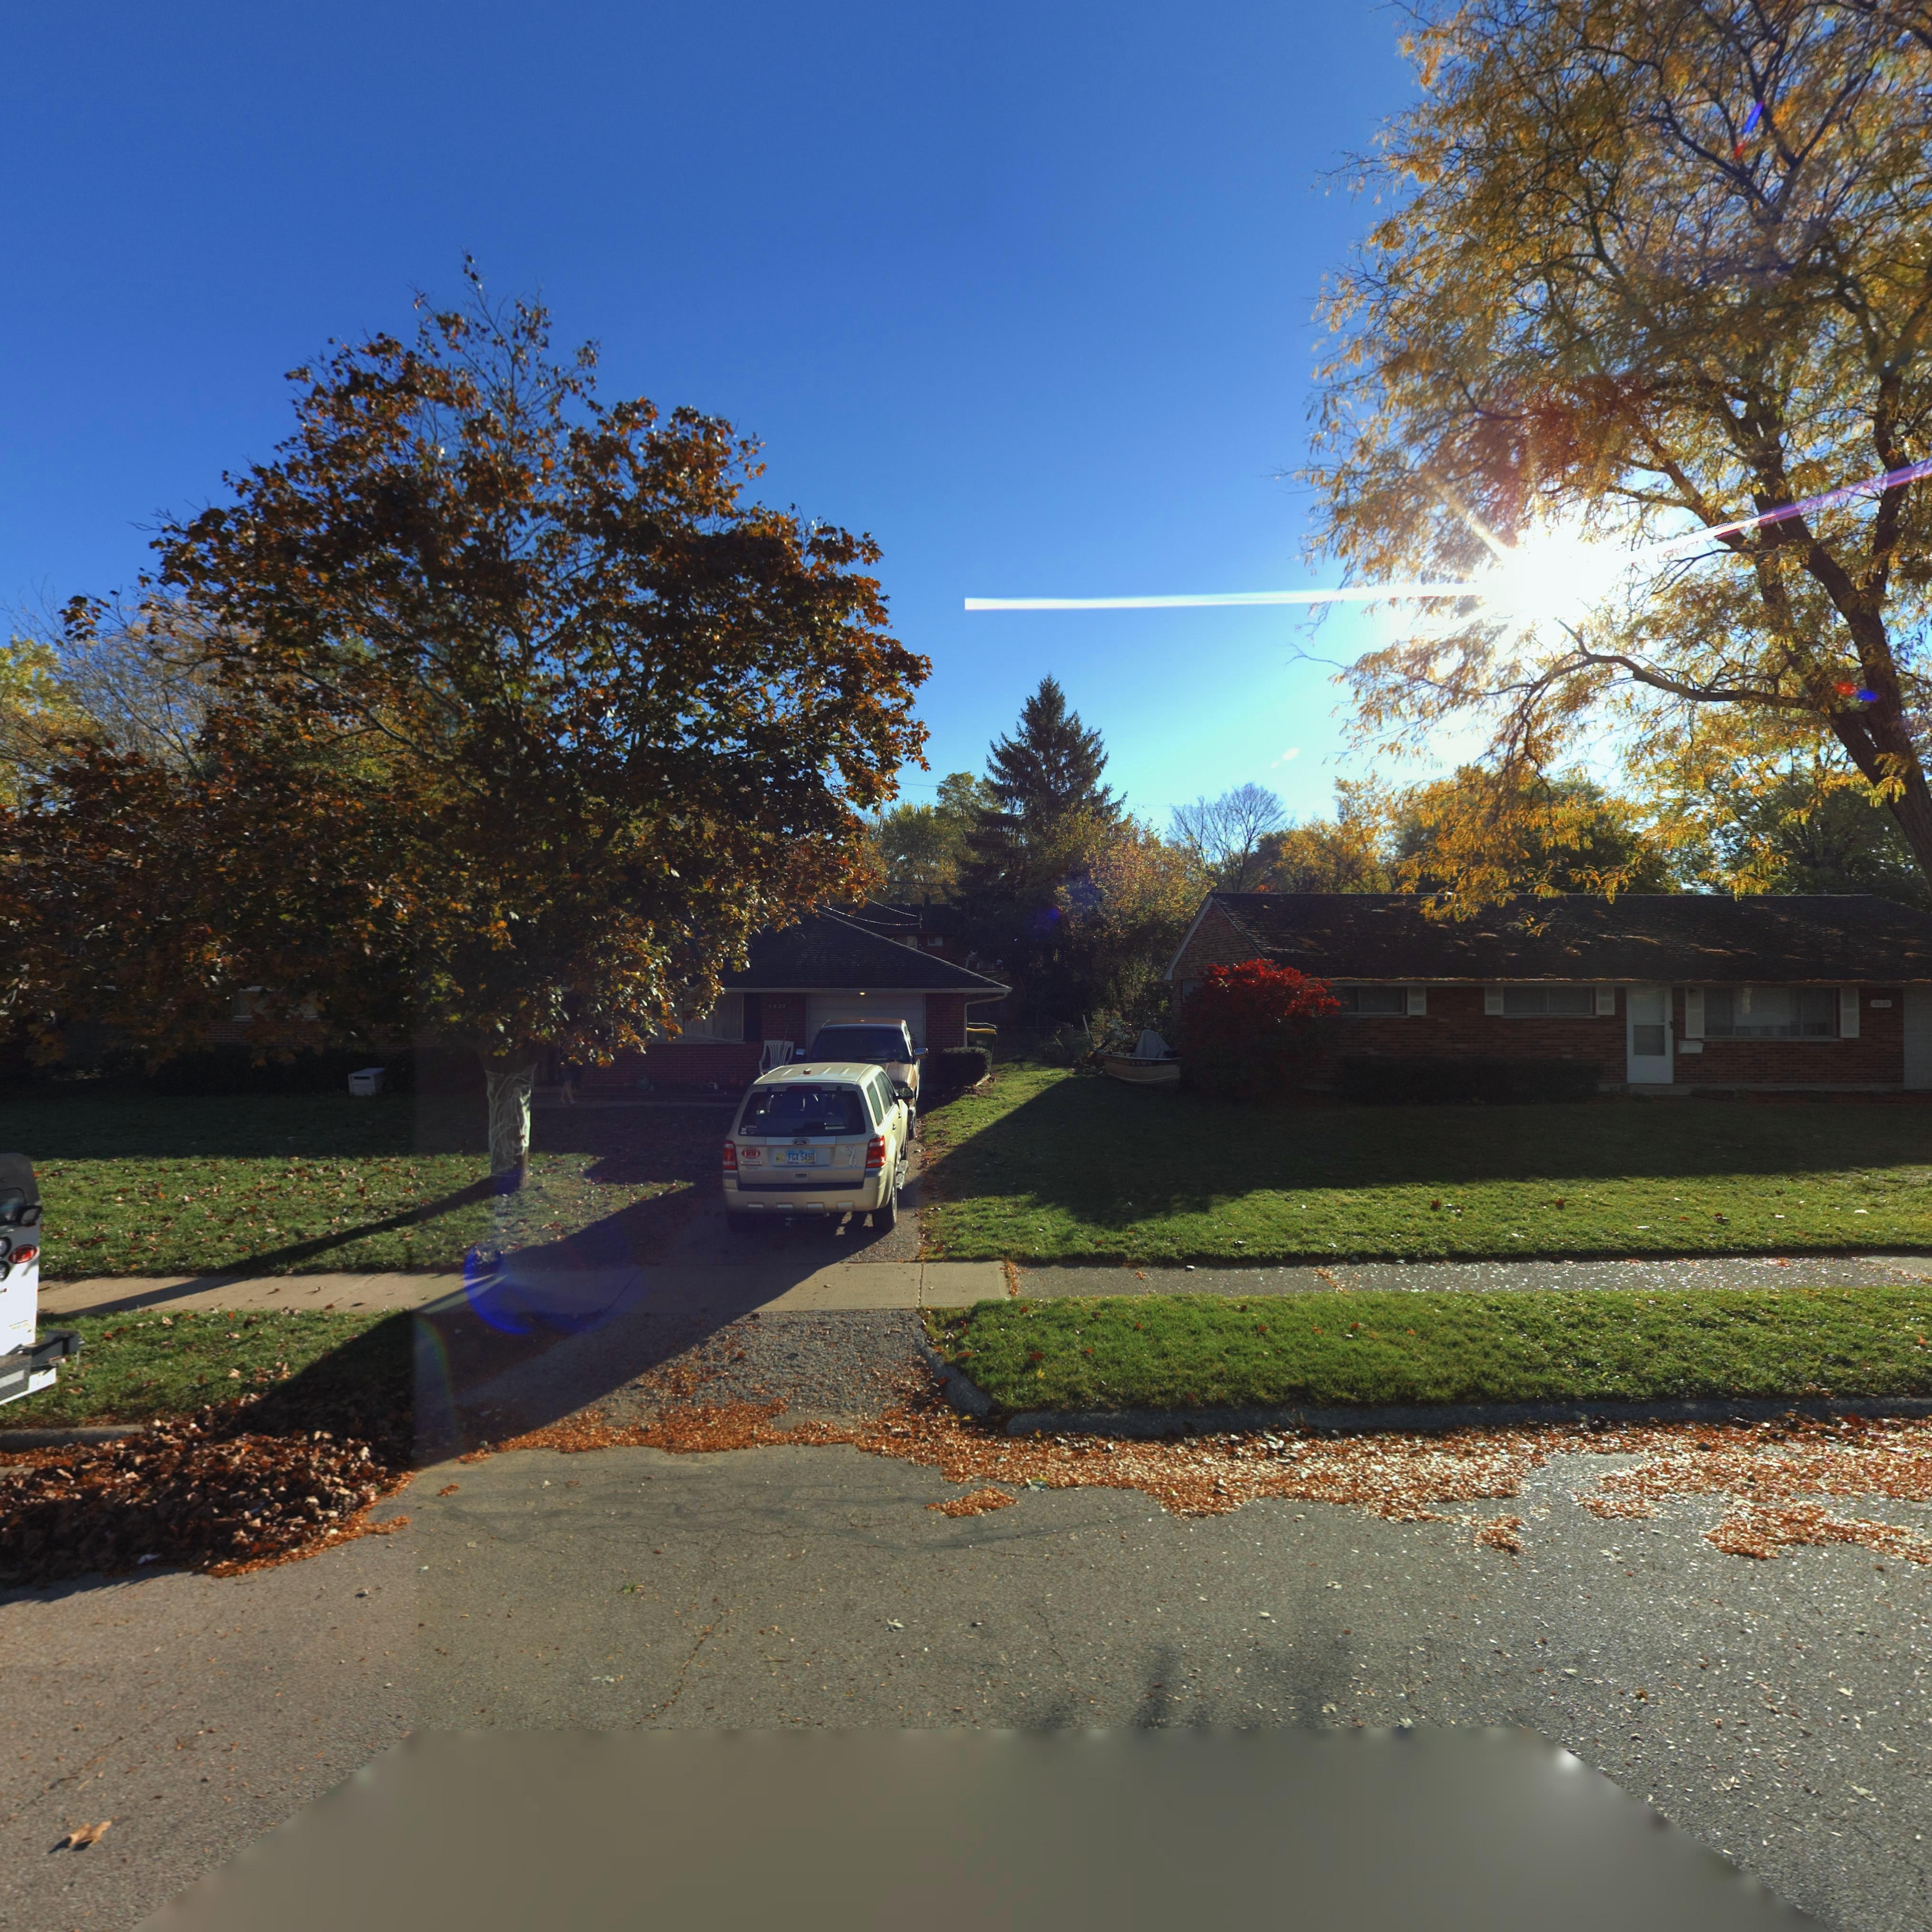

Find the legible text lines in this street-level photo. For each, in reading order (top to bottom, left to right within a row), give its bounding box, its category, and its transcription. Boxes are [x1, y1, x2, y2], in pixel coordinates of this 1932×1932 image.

[767, 1003, 786, 1010] StreetNumber: 4820